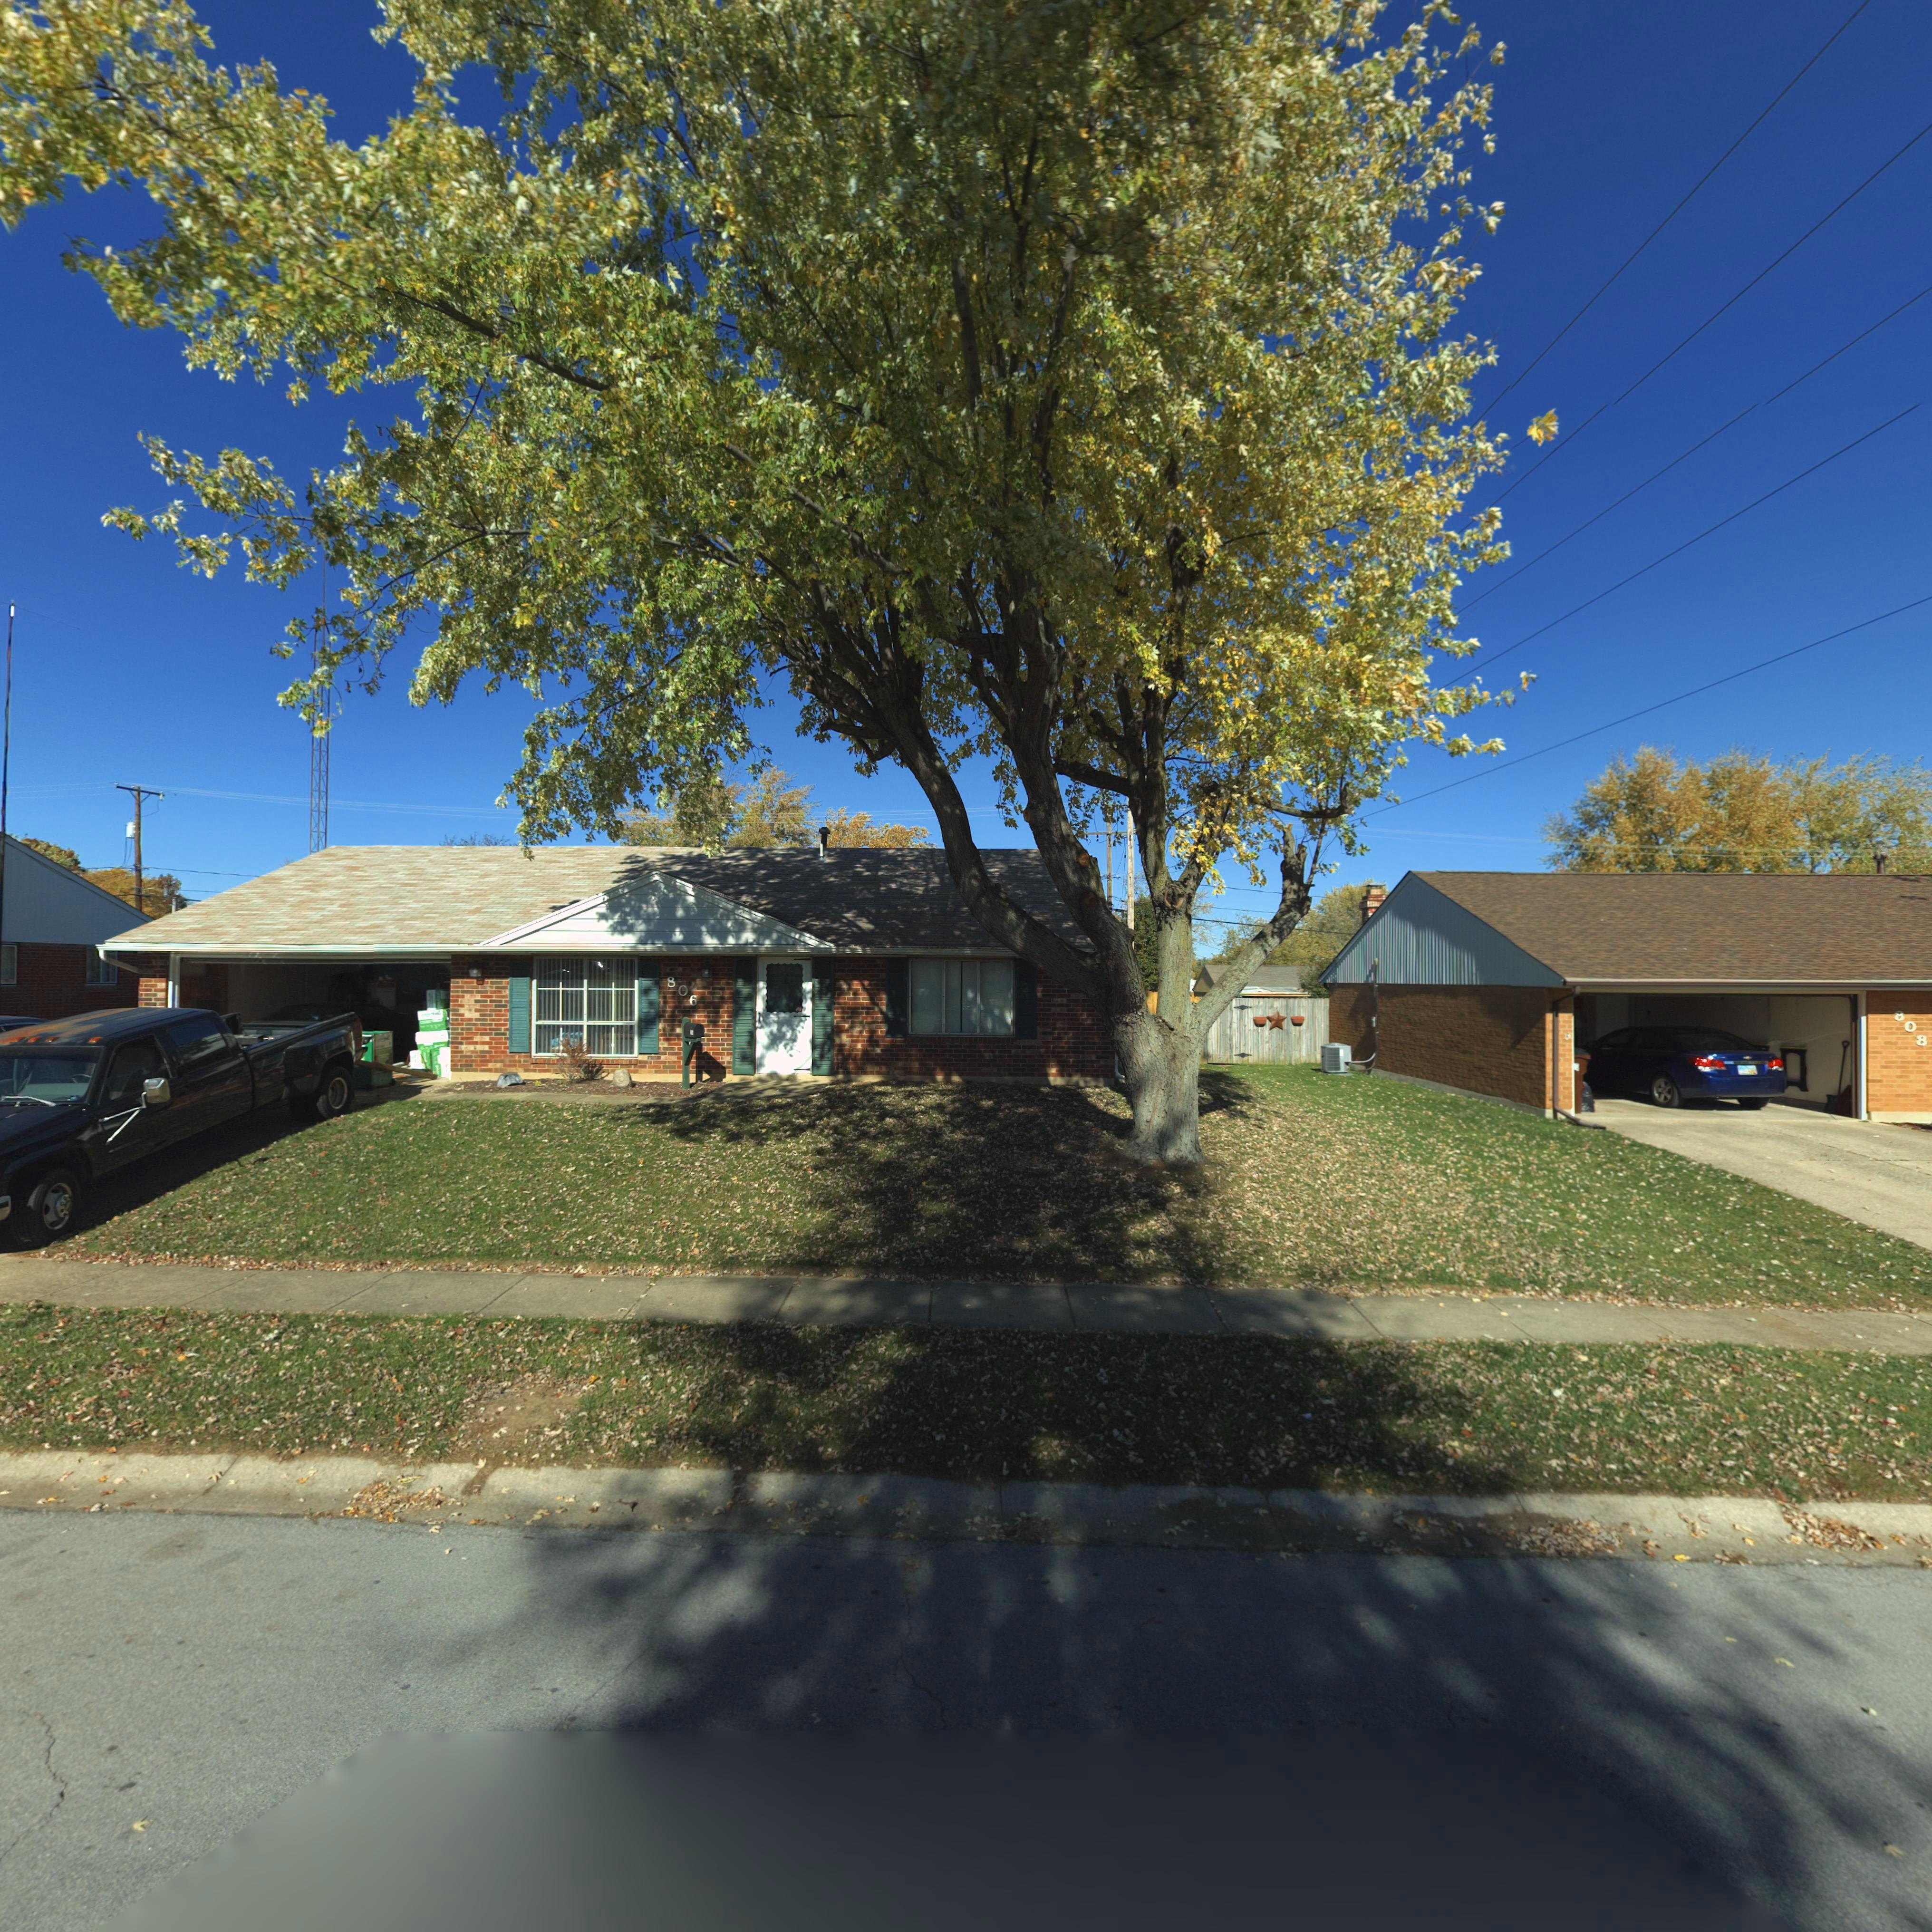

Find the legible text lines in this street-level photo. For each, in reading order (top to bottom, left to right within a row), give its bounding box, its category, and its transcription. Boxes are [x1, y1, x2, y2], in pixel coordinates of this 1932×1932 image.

[667, 976, 697, 1006] StreetNumber: 806
[1893, 1009, 1928, 1047] StreetNumber: 808